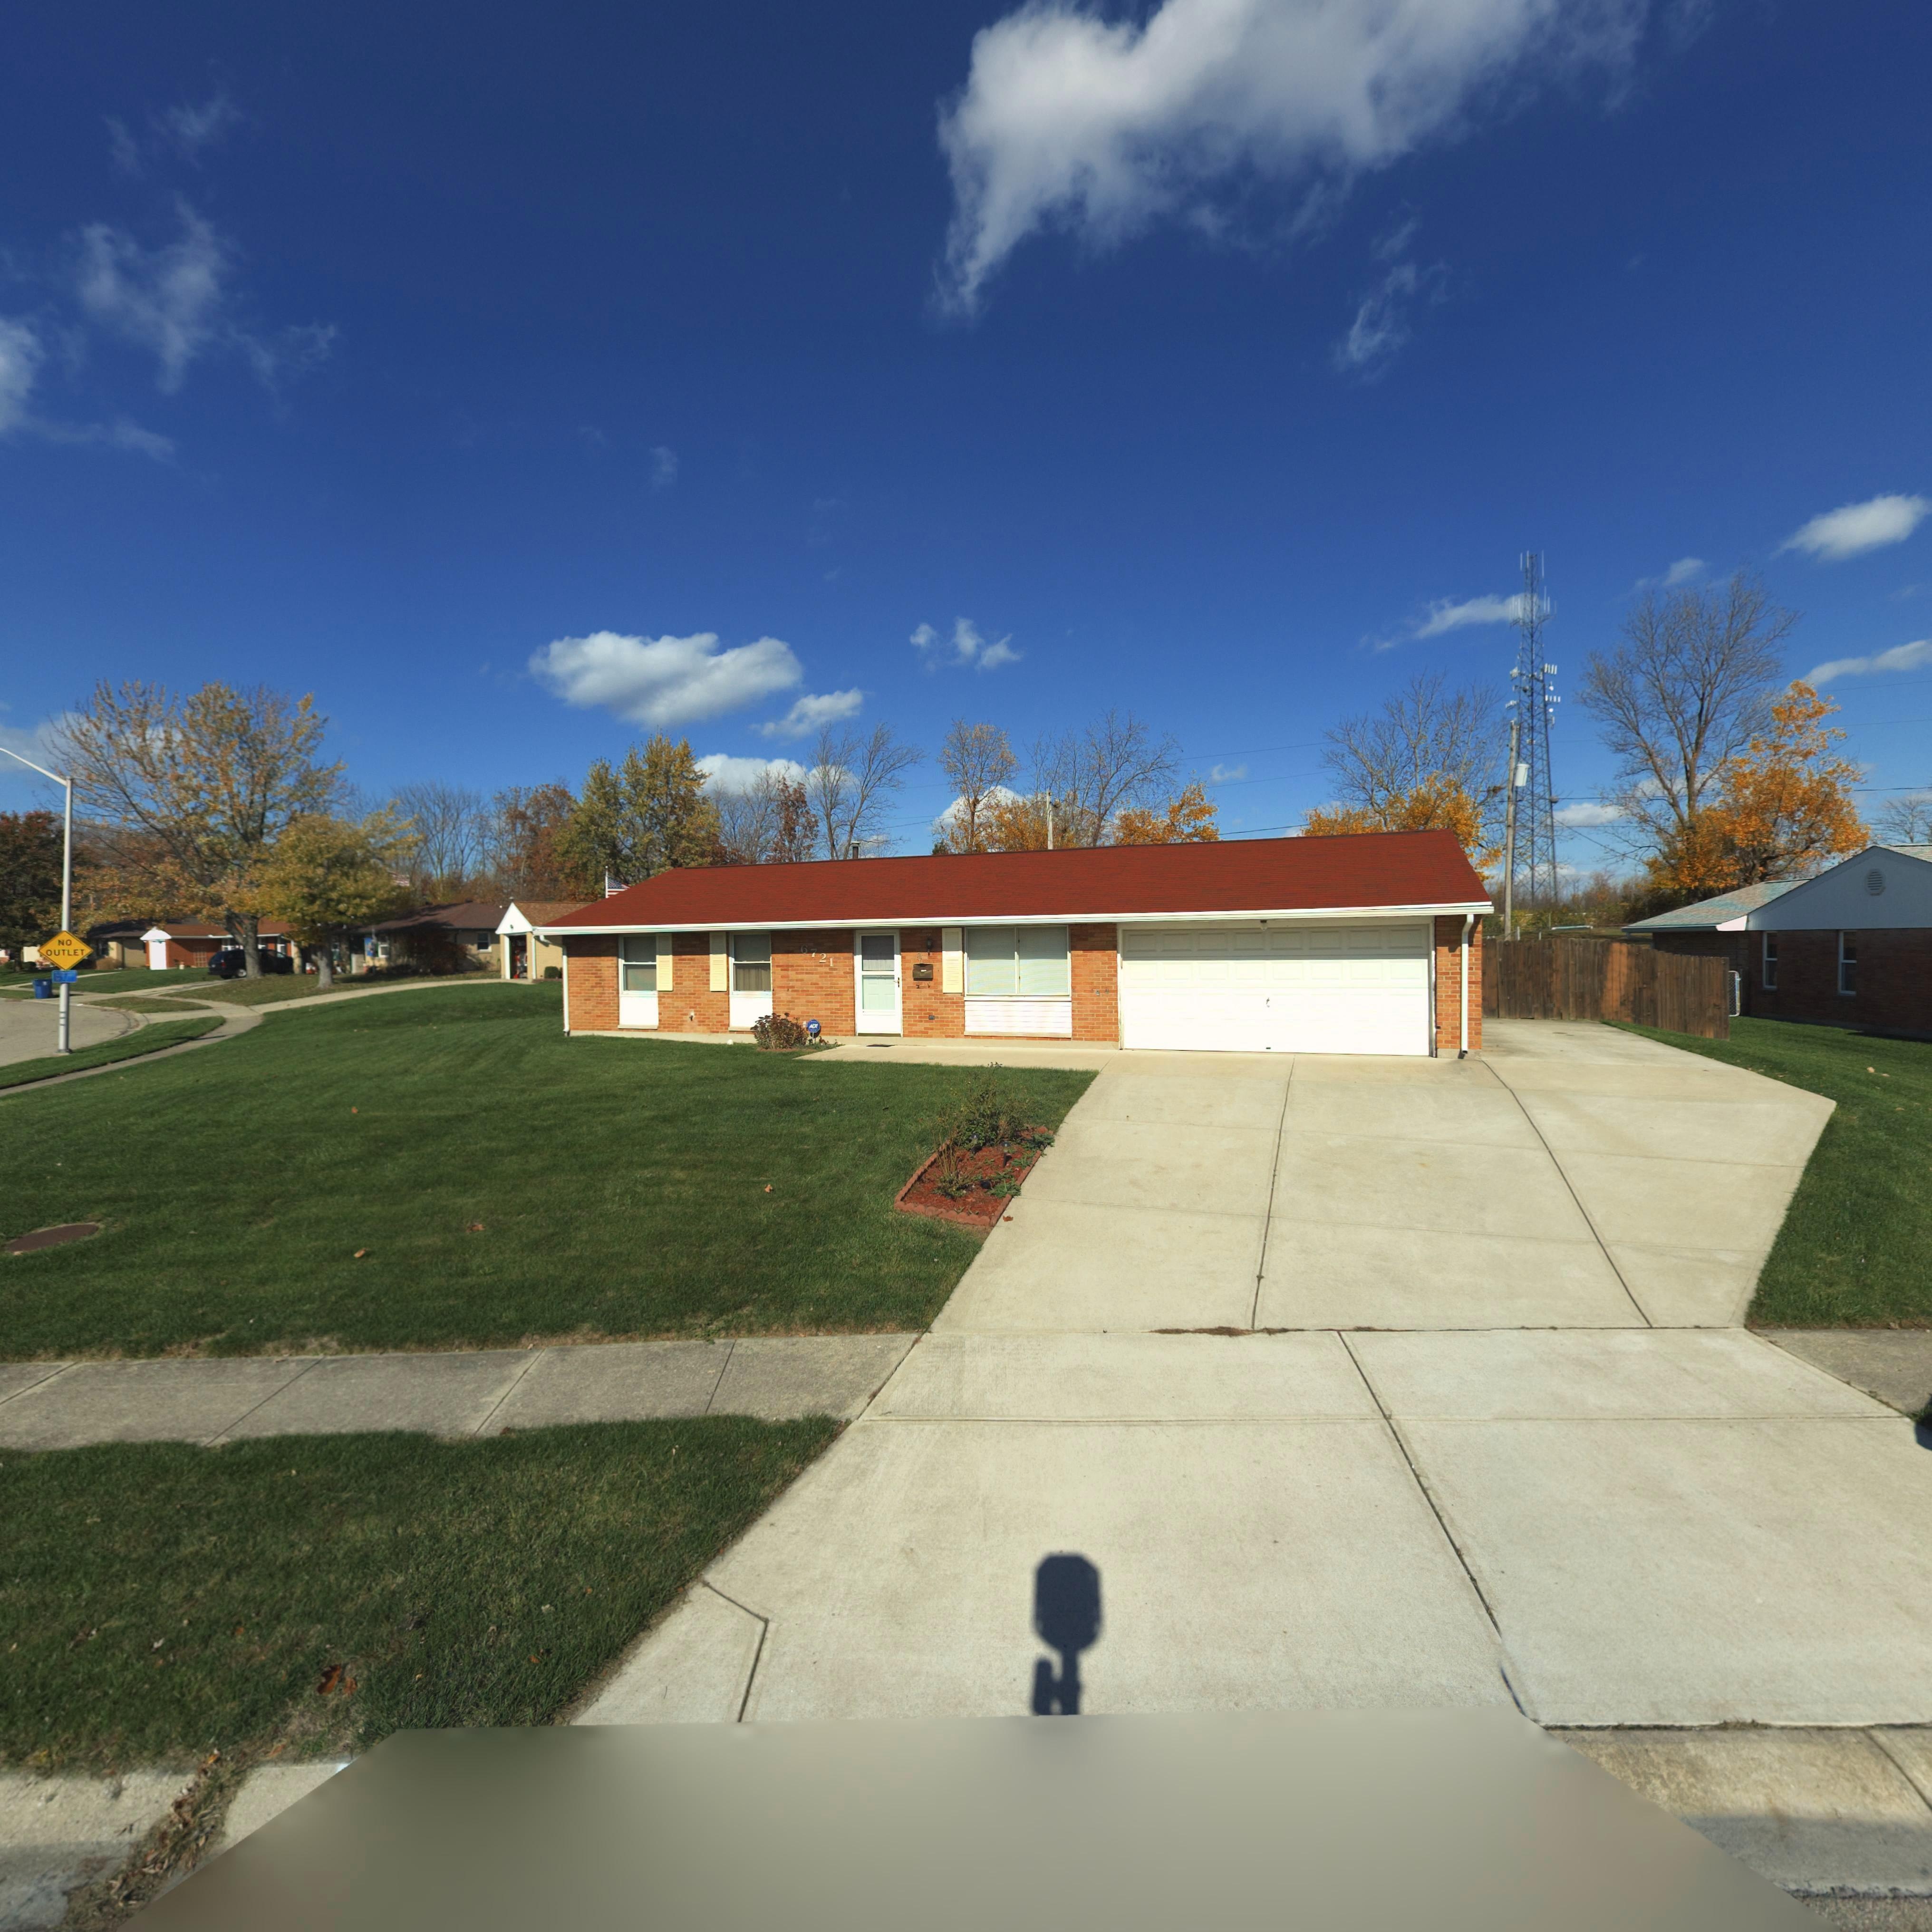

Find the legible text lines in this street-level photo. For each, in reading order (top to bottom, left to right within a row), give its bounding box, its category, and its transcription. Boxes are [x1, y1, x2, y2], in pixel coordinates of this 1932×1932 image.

[799, 943, 834, 968] StreetNumber: 6721